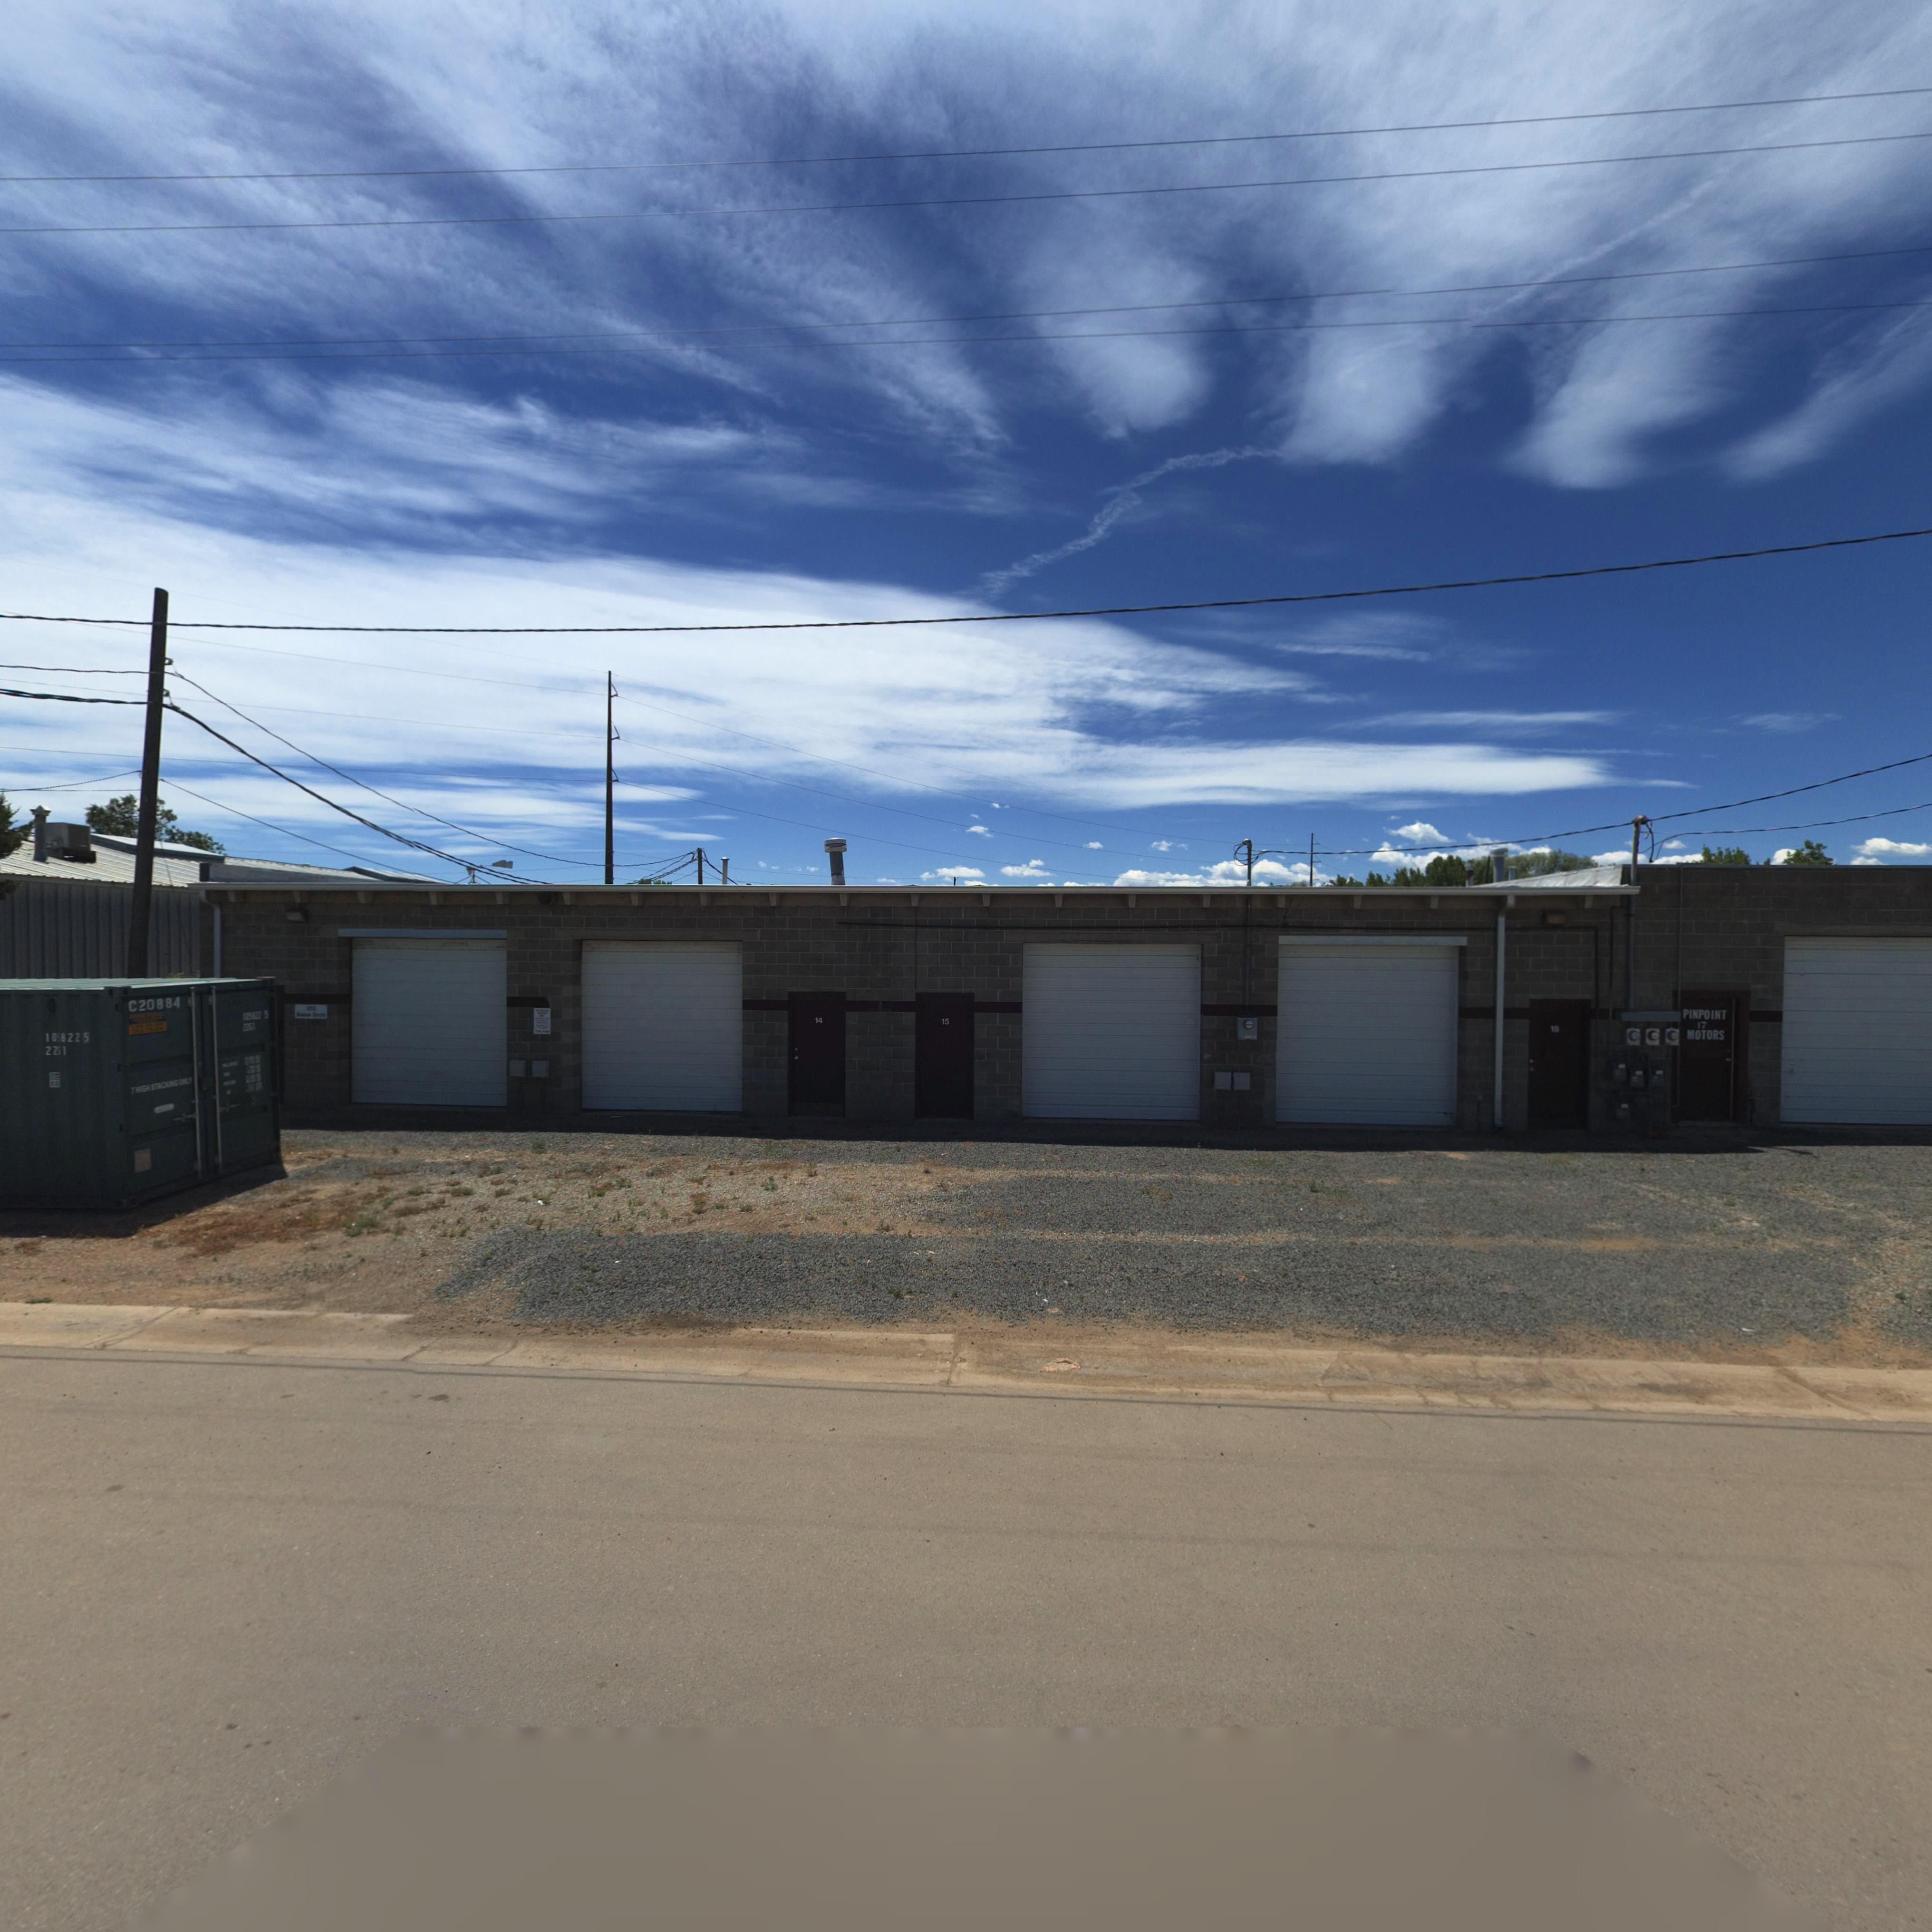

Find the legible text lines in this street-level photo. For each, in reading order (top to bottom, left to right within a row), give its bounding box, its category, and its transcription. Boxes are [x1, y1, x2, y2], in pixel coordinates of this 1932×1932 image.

[1682, 1008, 1728, 1020] BusinessName: PINPOINT
[814, 1016, 823, 1024] StreetNumber: 14
[941, 1018, 950, 1025] StreetNumber: 15
[1549, 1024, 1560, 1033] StreetNumber: 16
[1697, 1021, 1707, 1029] StreetNumber: 17
[1686, 1029, 1725, 1041] BusinessName: MOTORS